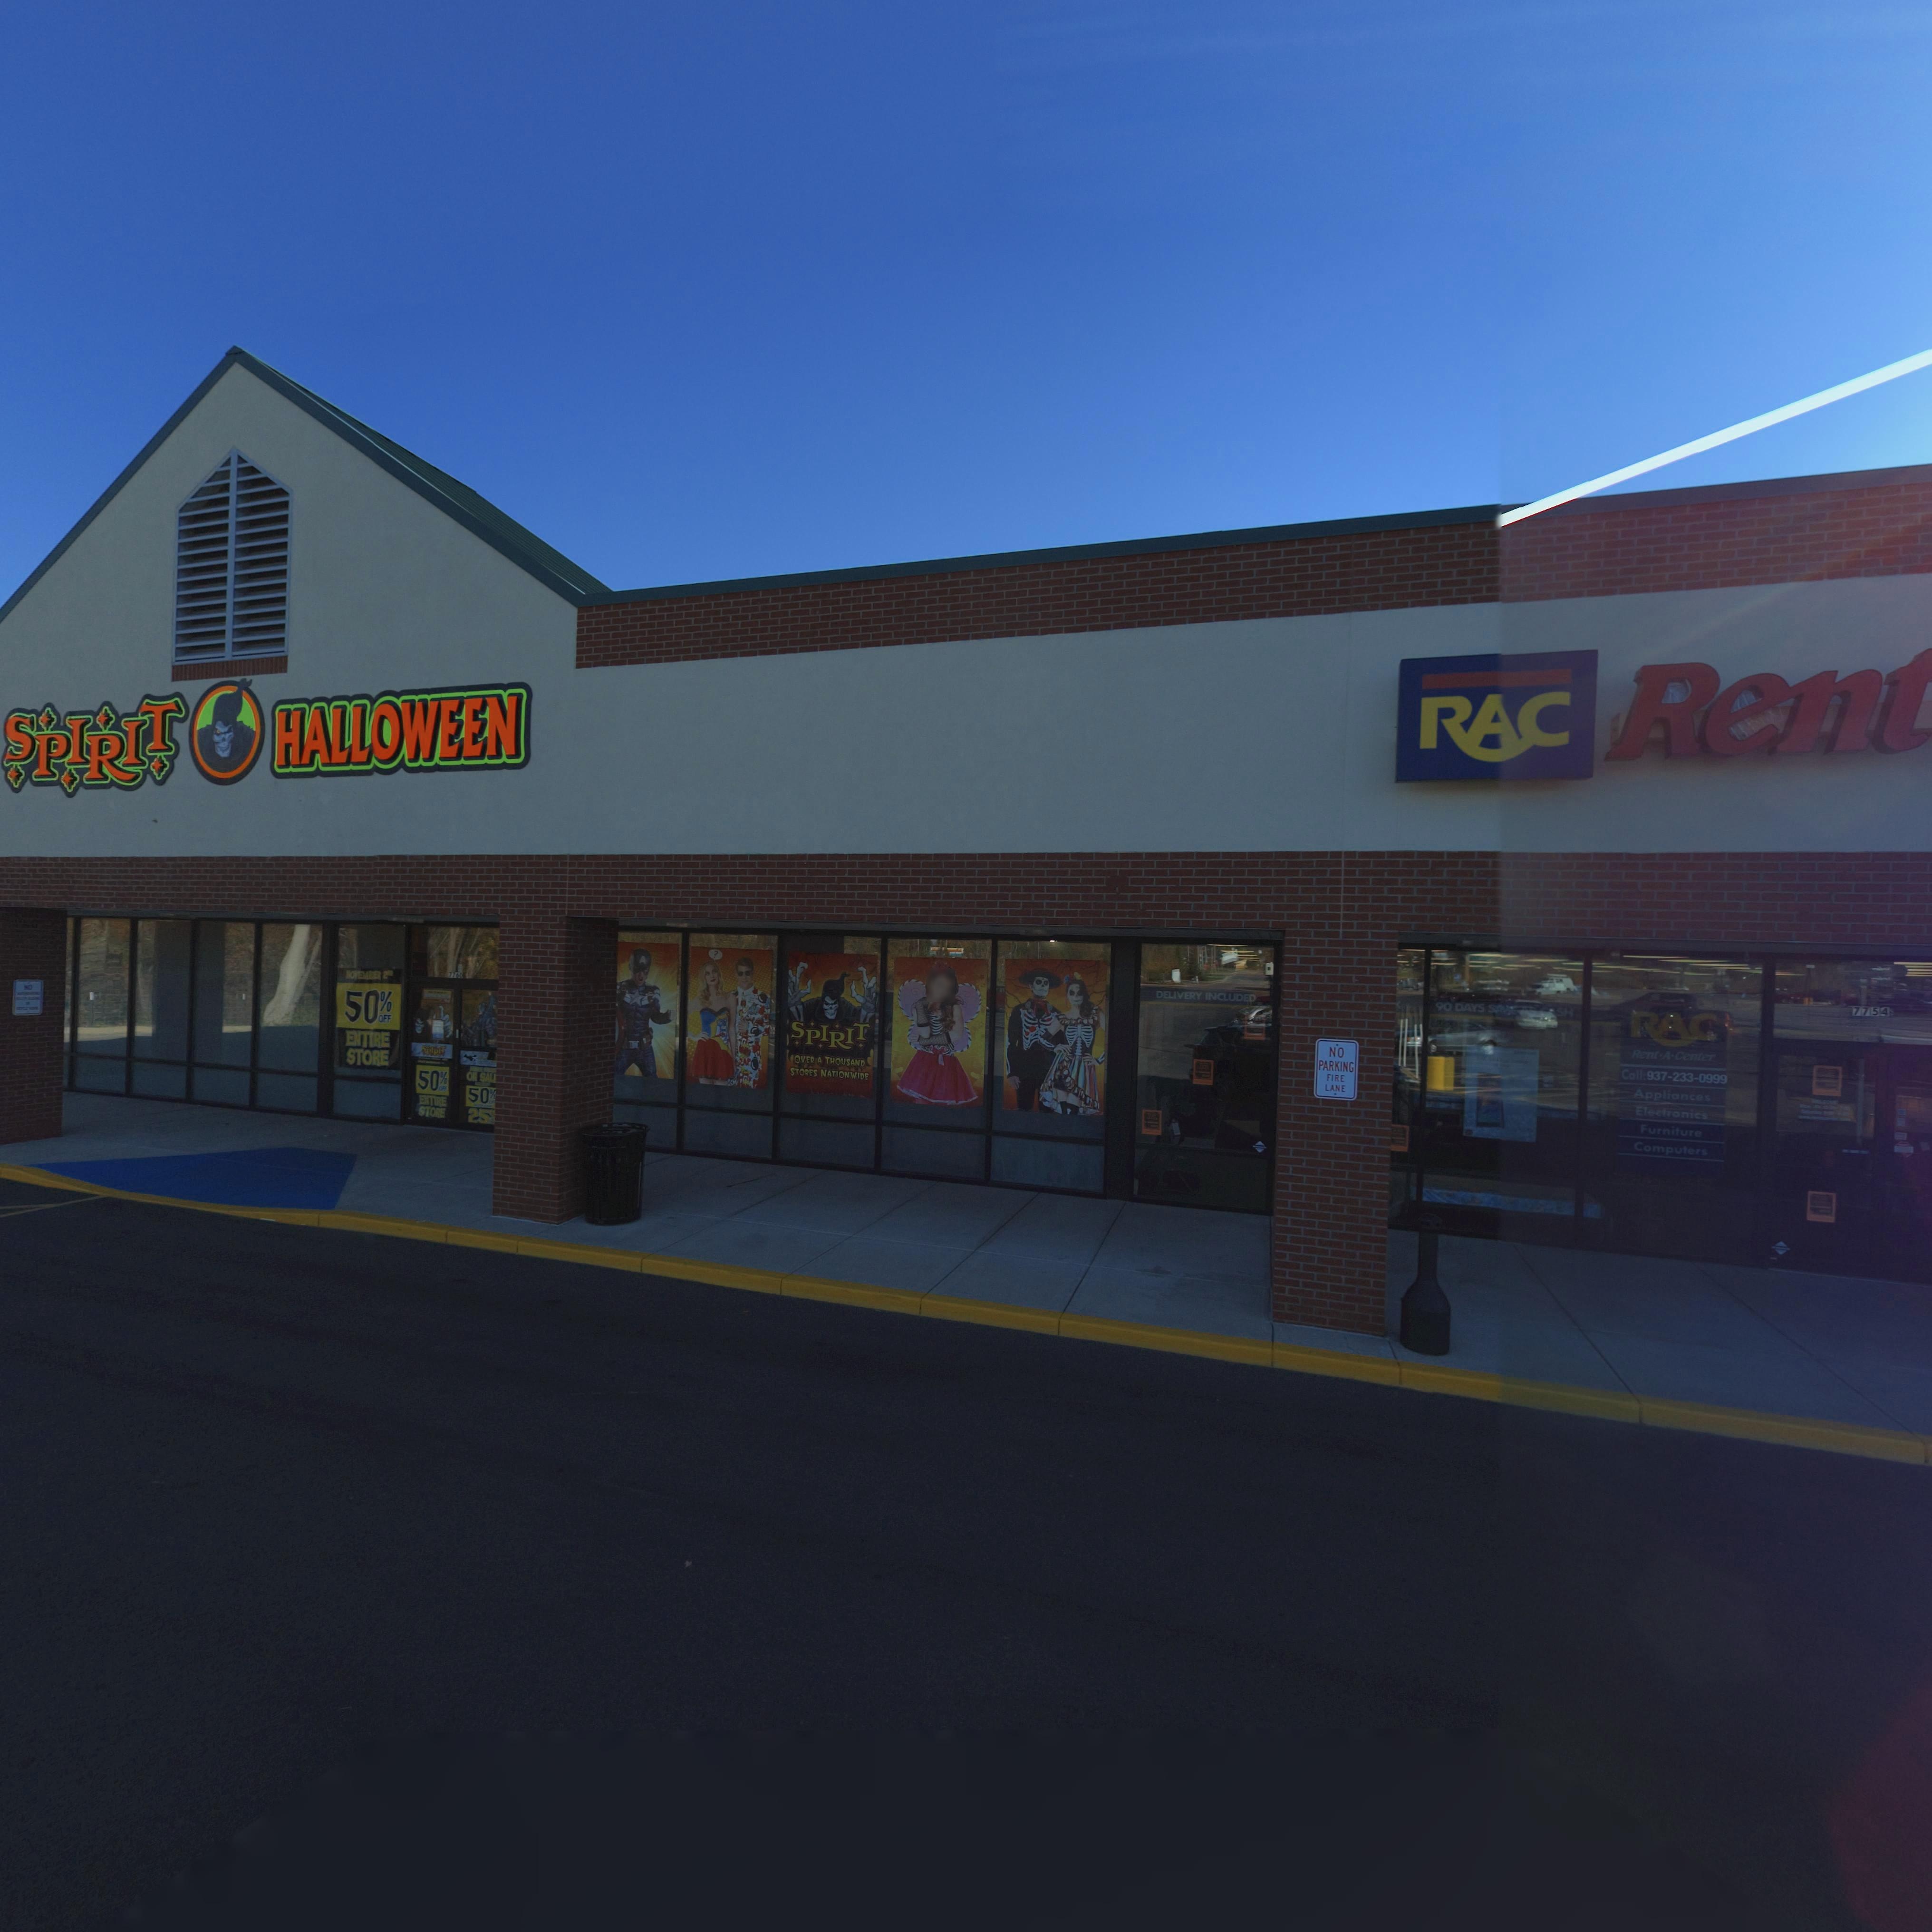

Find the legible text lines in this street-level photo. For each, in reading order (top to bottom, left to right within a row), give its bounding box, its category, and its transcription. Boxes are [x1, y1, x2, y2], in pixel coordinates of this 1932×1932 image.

[1602, 660, 1886, 763] BusinessName: Ren
[2, 690, 526, 786] BusinessName: SPIRIT * HALLOWEEN
[448, 971, 464, 978] StreetNumber: 7760
[343, 988, 381, 1025] None: 50
[1853, 1006, 1889, 1017] StreetNumber: 7754
[790, 1020, 873, 1052] BusinessName: SPIRIT
[1630, 1049, 1719, 1063] BusinessName: Rent*A*Center